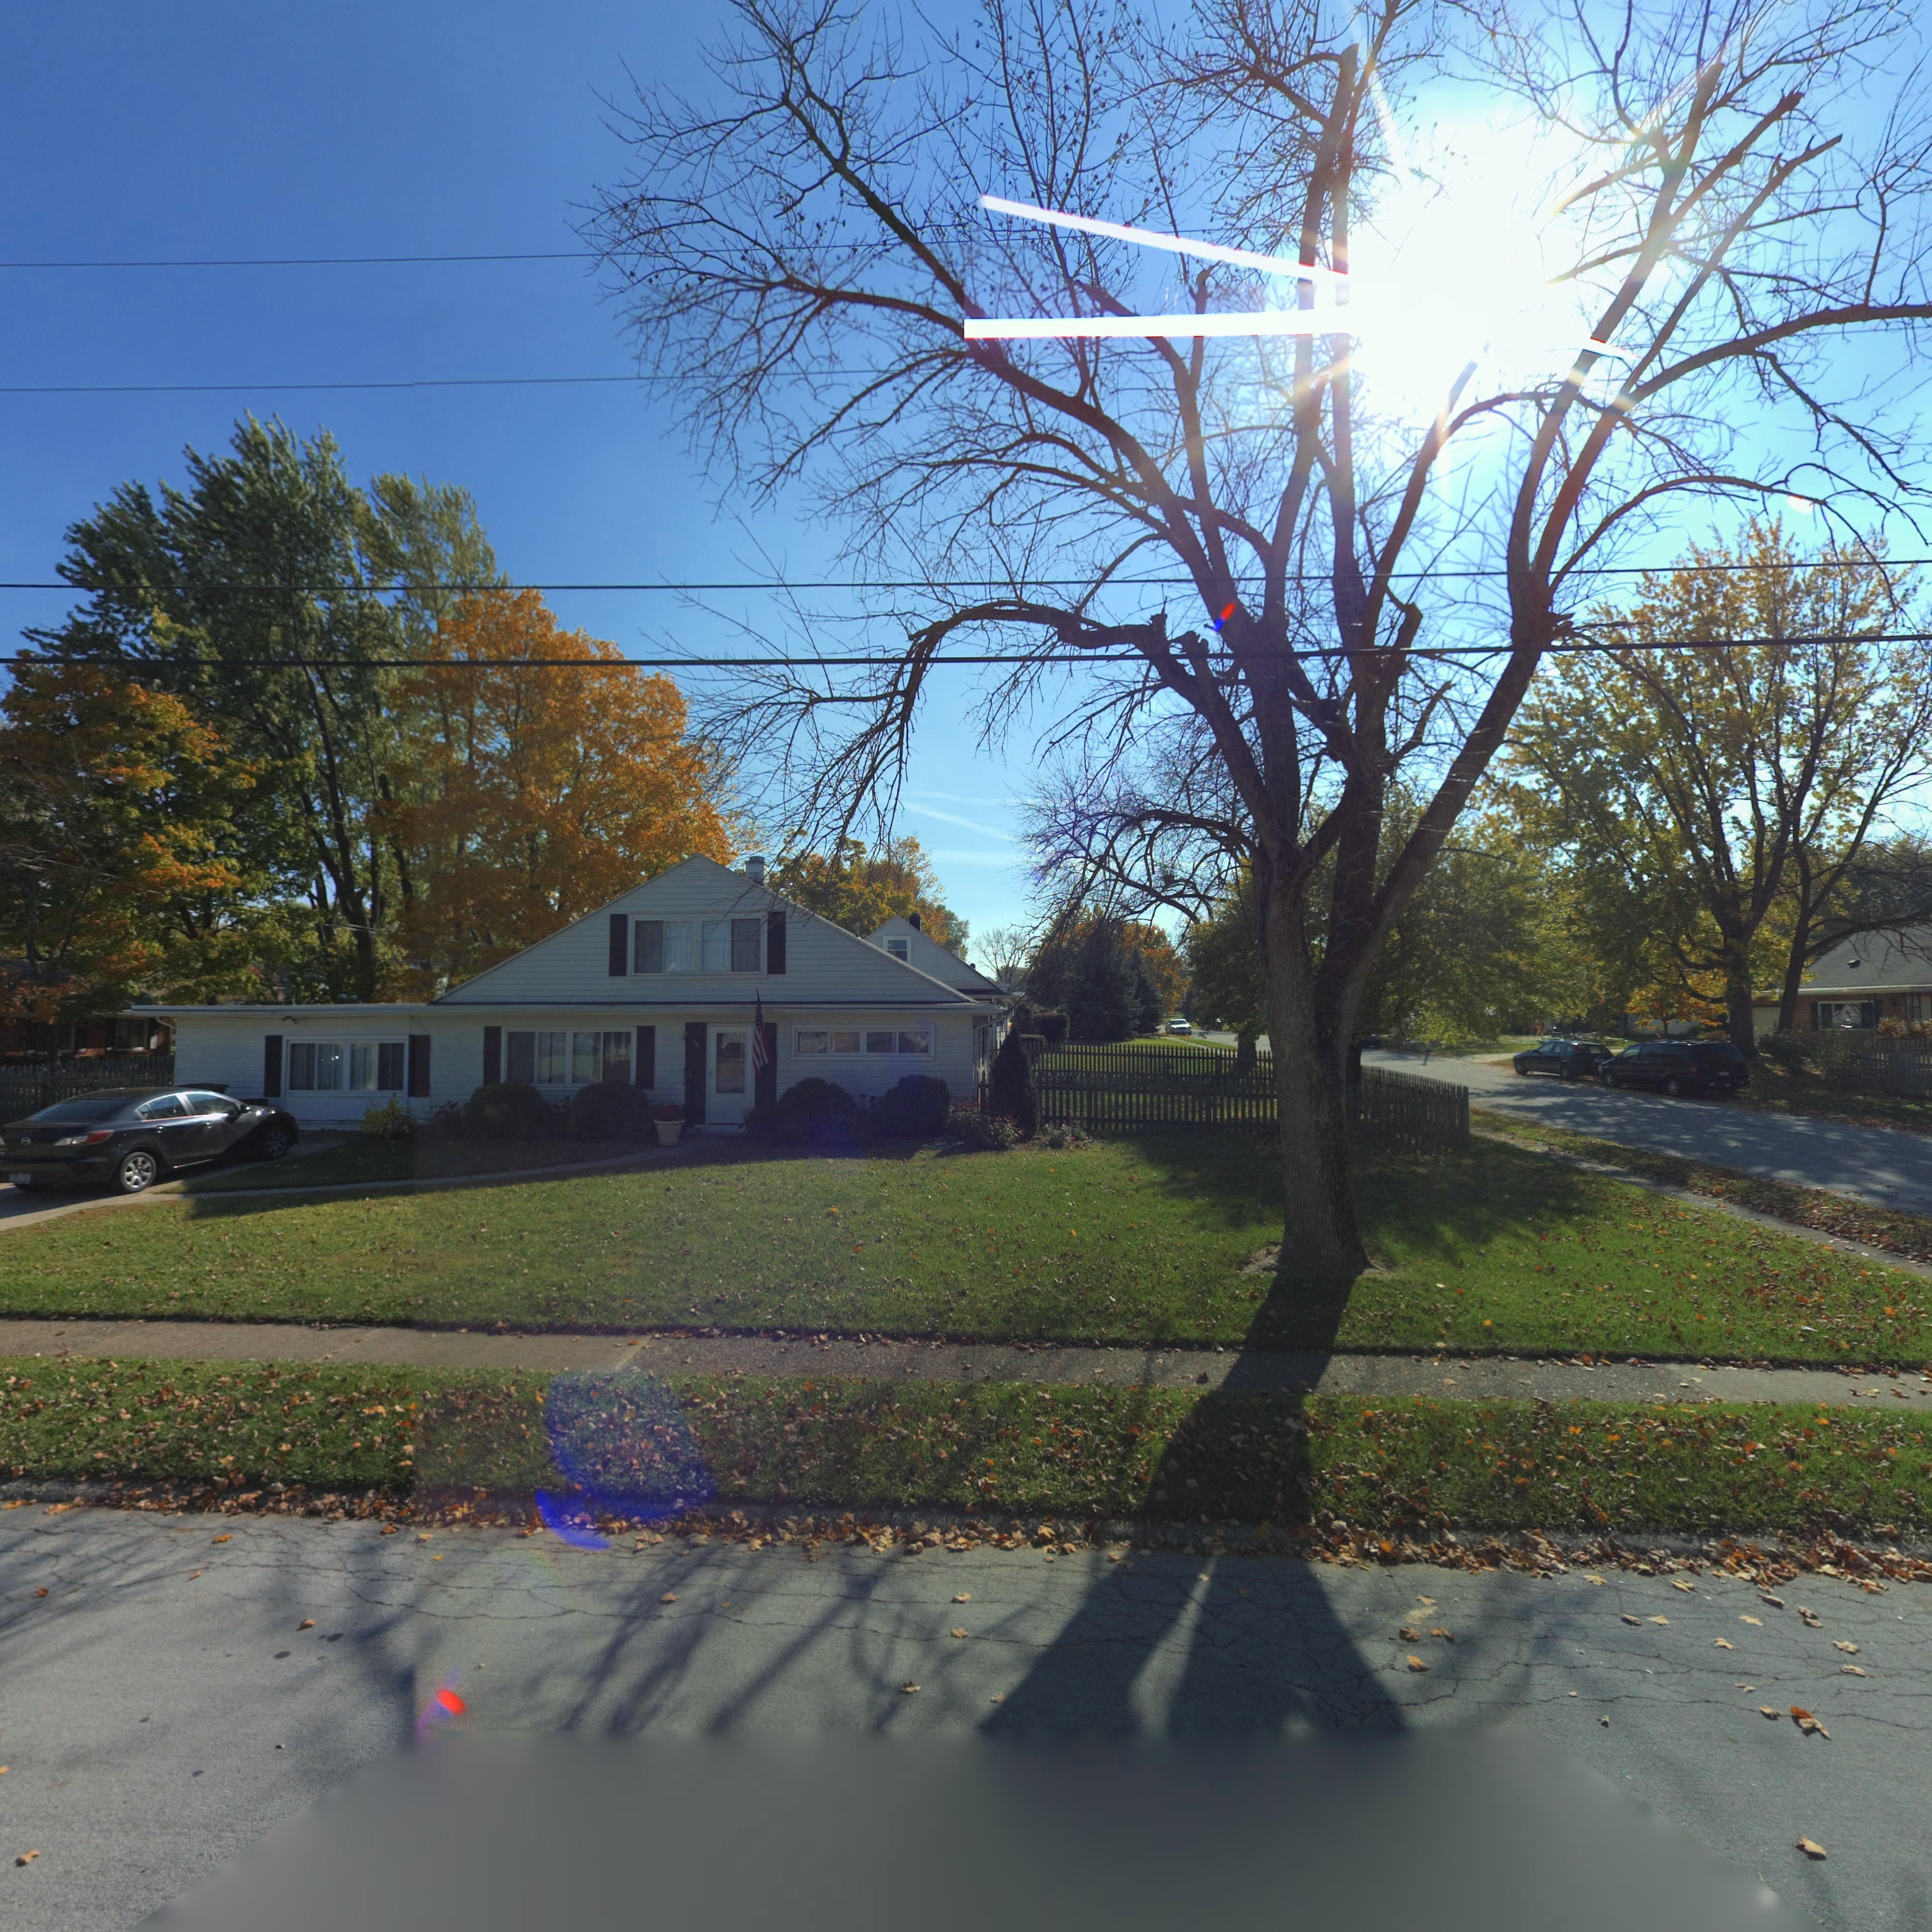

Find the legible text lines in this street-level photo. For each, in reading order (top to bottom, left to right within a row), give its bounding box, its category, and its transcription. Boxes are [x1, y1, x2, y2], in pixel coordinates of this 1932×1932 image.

[691, 1039, 700, 1049] StreetNumber: 930